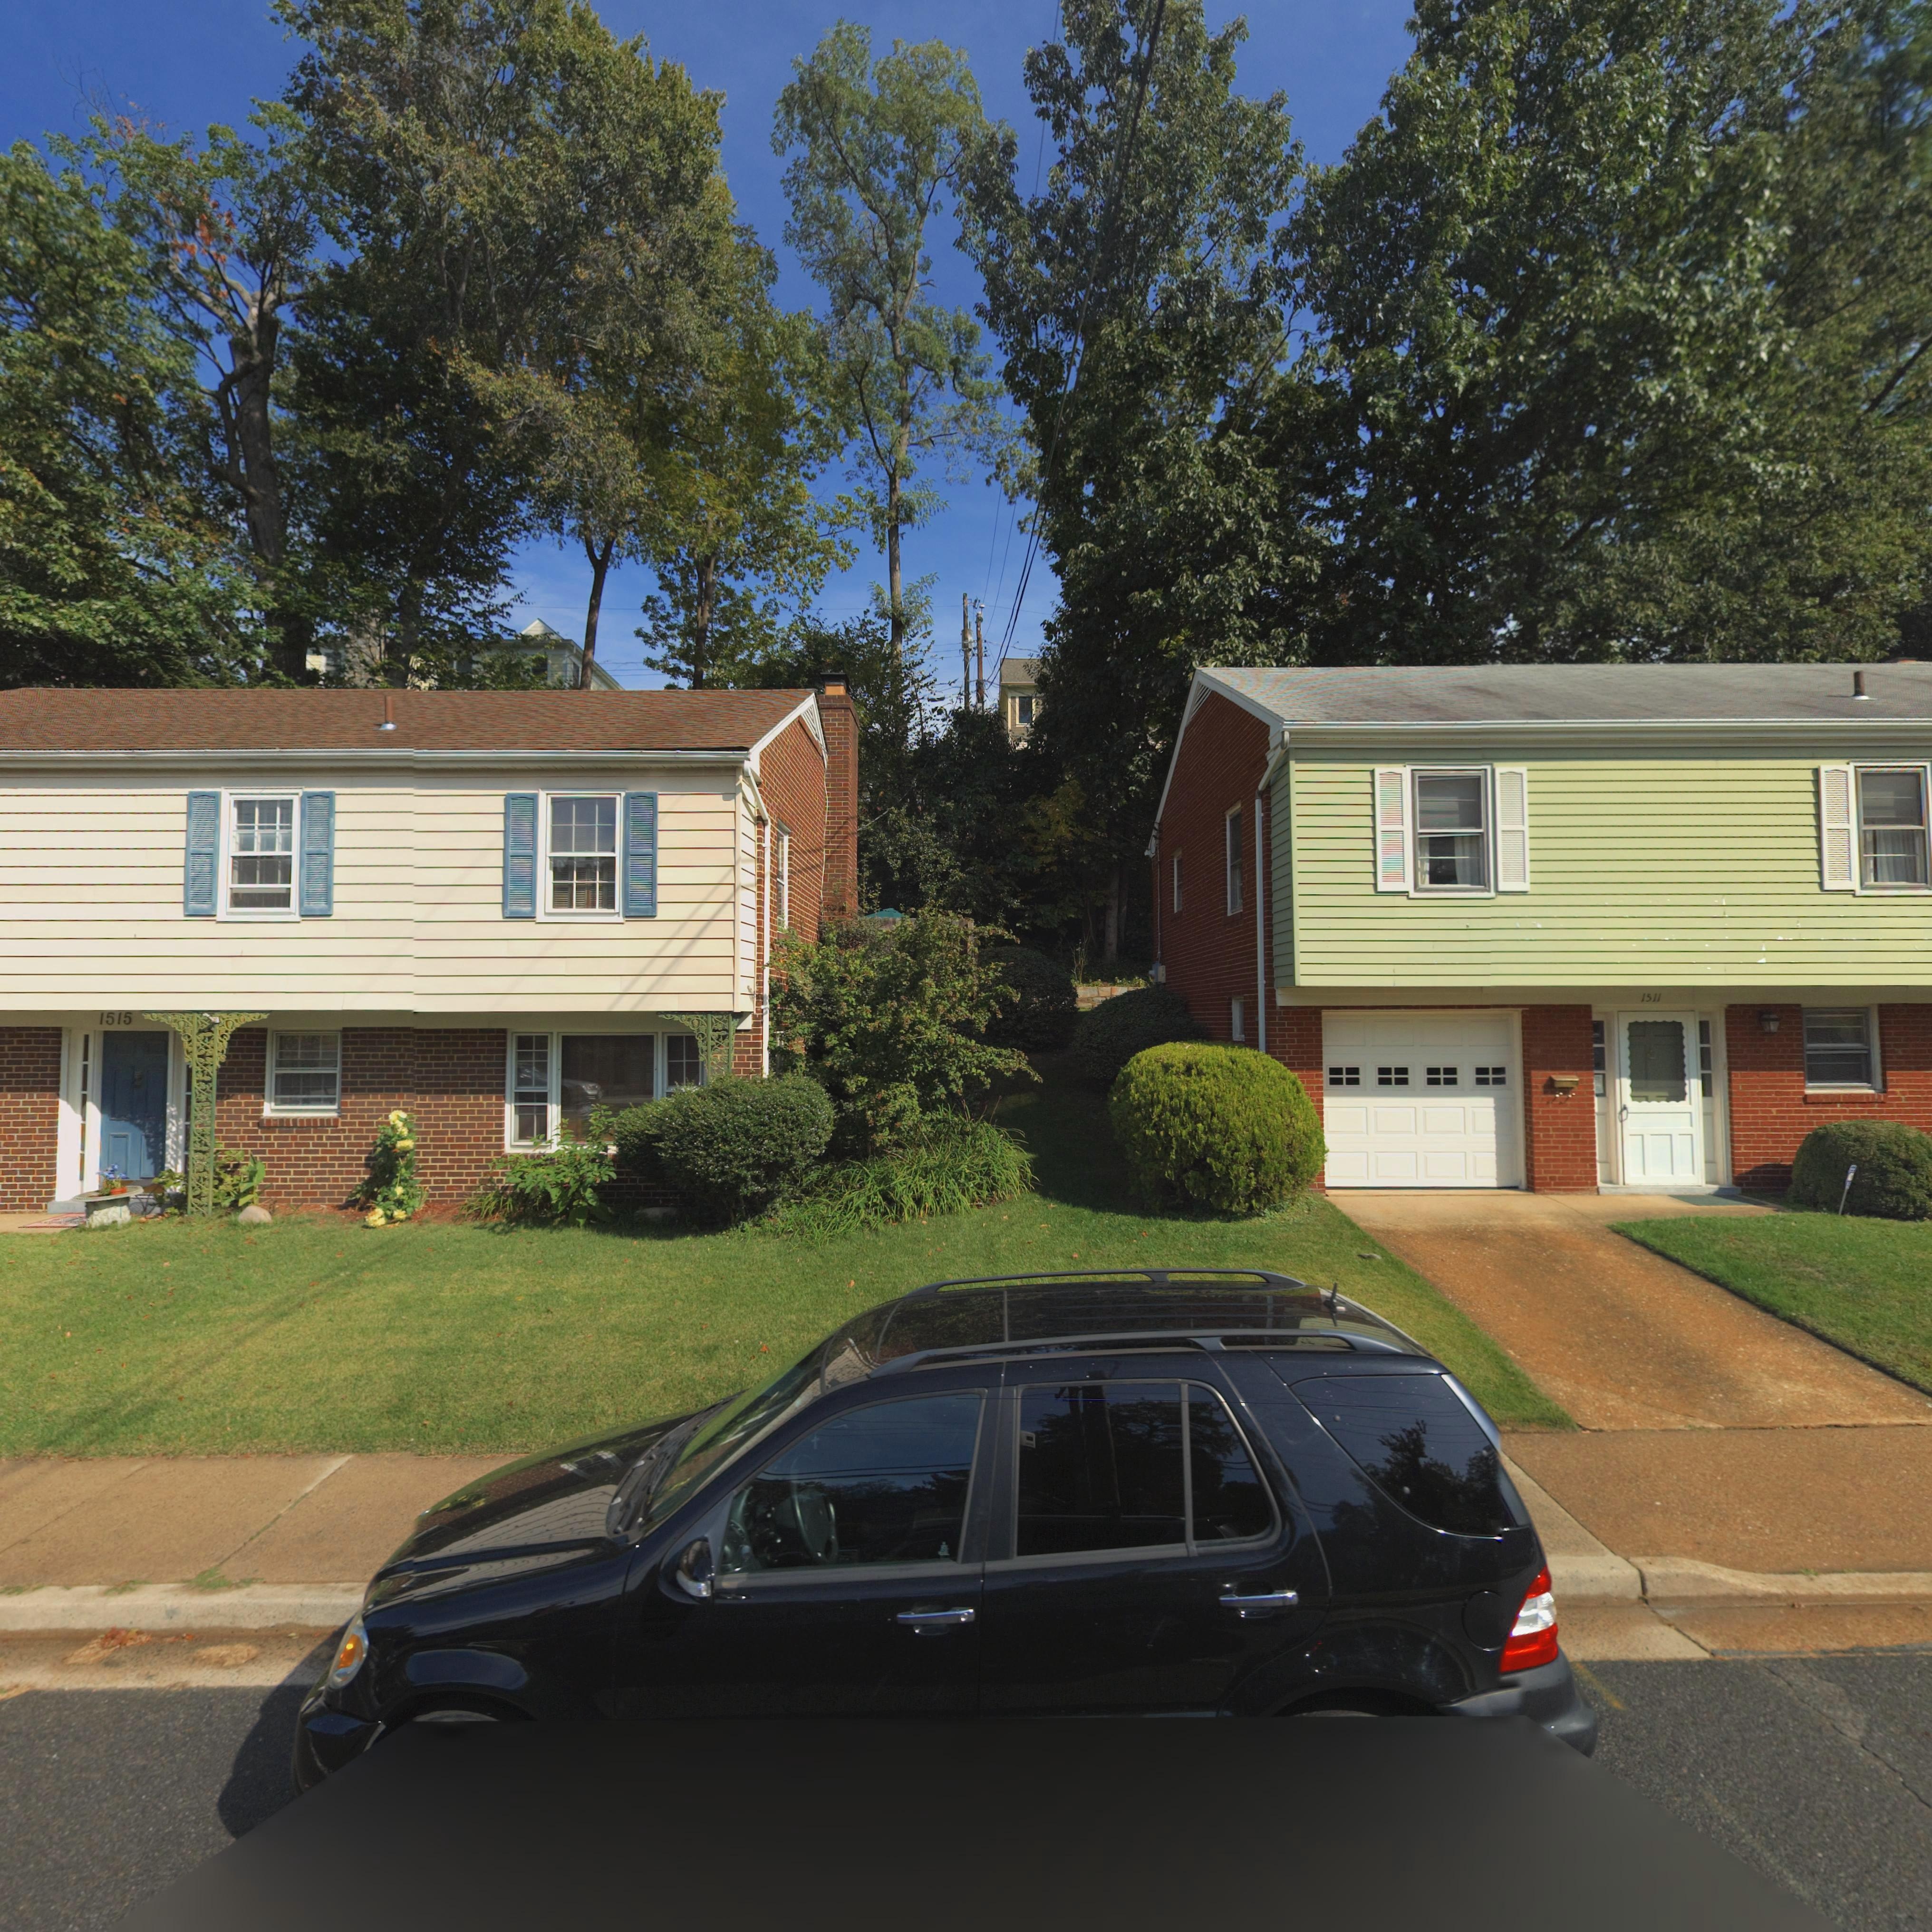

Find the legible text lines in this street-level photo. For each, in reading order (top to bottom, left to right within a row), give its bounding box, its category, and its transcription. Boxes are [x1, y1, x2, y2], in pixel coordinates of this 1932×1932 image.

[1640, 992, 1662, 1004] StreetNumber: 1511
[98, 1011, 133, 1026] StreetNumber: 1515